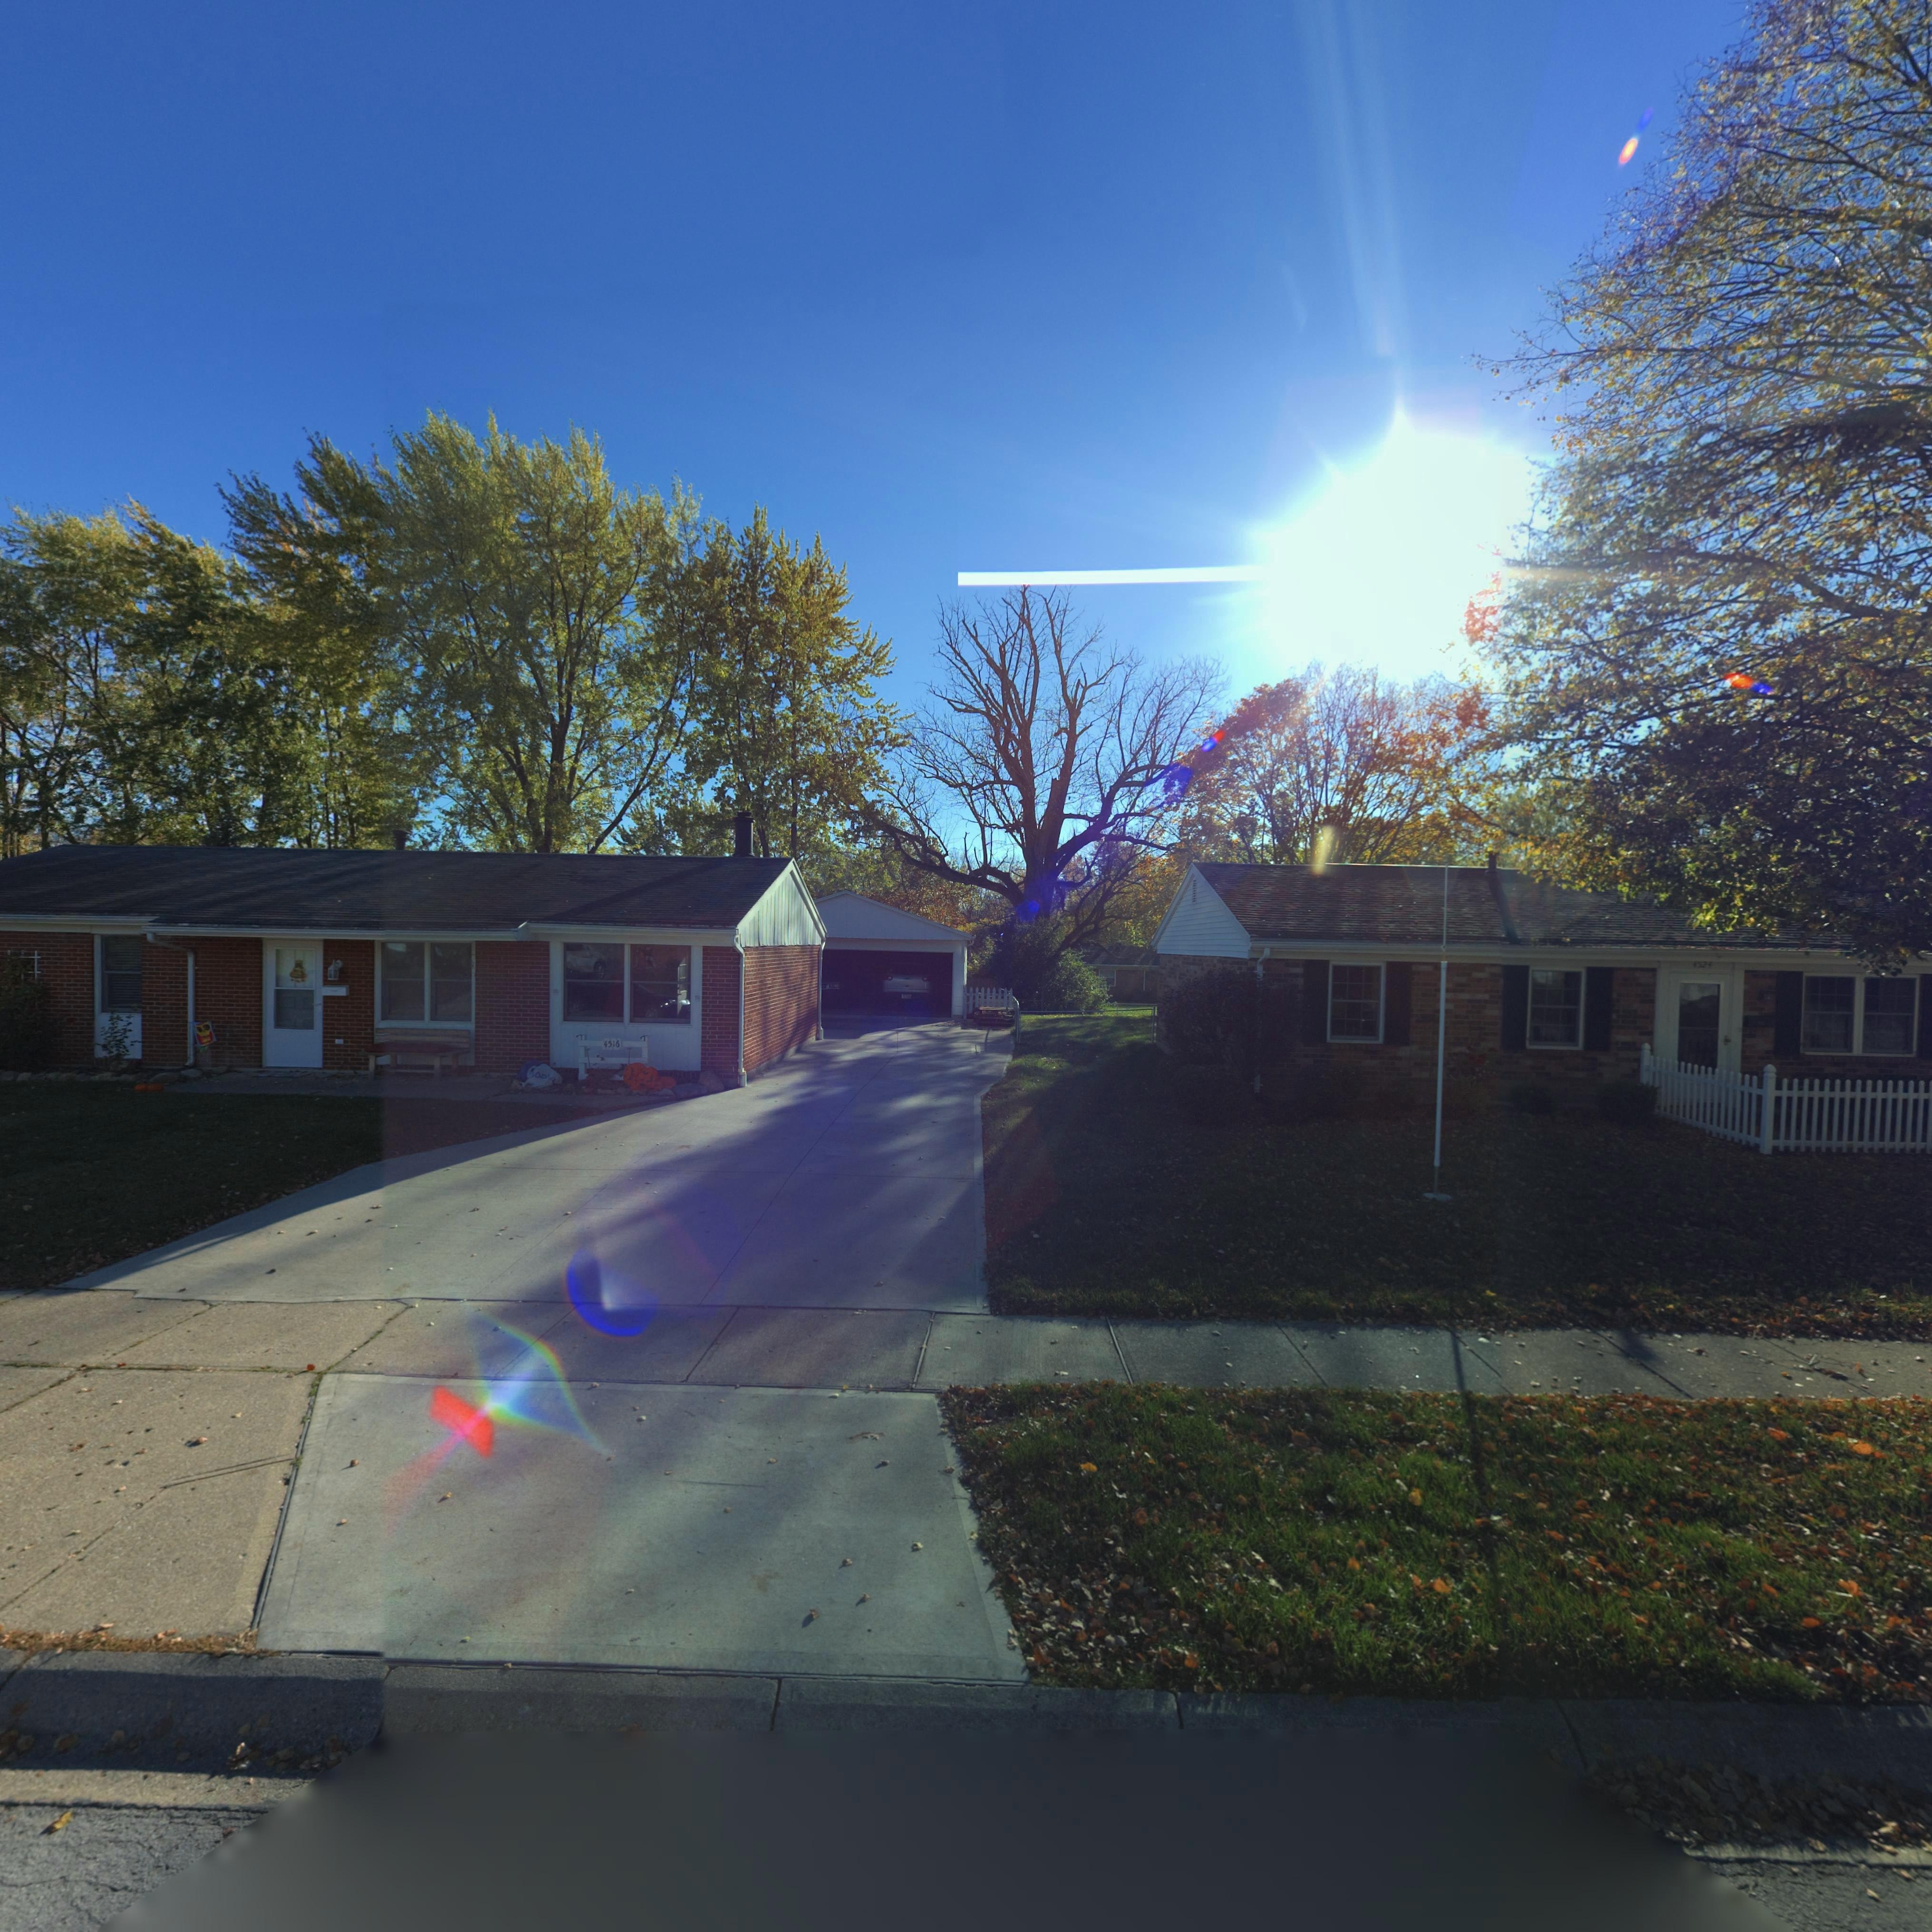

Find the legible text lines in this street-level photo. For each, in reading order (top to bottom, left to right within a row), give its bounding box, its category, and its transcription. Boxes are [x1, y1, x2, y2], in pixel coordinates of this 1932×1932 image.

[1692, 960, 1712, 968] StreetNumber: 4524
[604, 1040, 620, 1048] StreetNumber: 4516